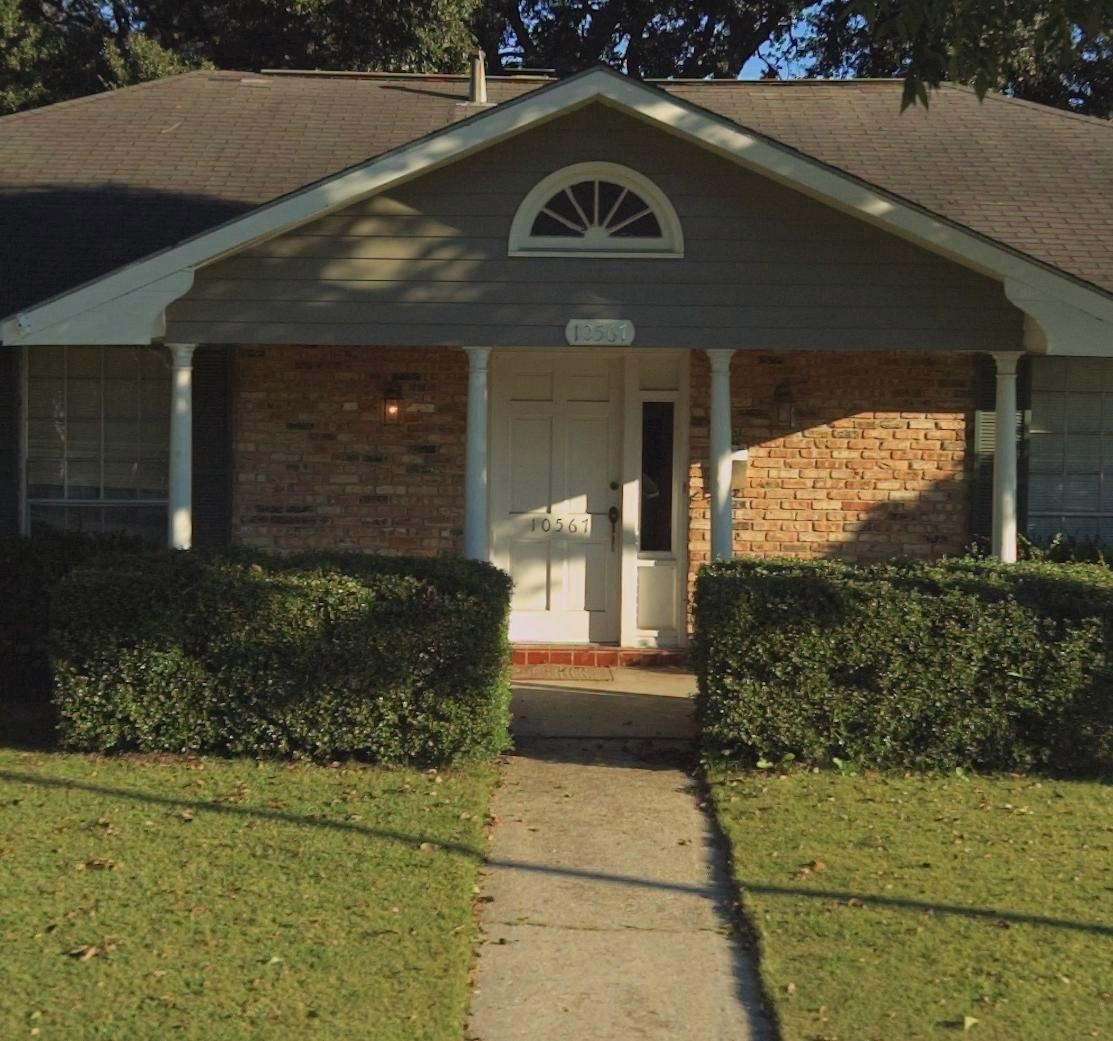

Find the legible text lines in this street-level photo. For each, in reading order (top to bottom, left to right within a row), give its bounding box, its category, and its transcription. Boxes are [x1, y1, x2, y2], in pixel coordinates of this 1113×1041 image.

[571, 321, 630, 345] StreetNumber: 10567
[529, 516, 590, 535] StreetNumber: 10567